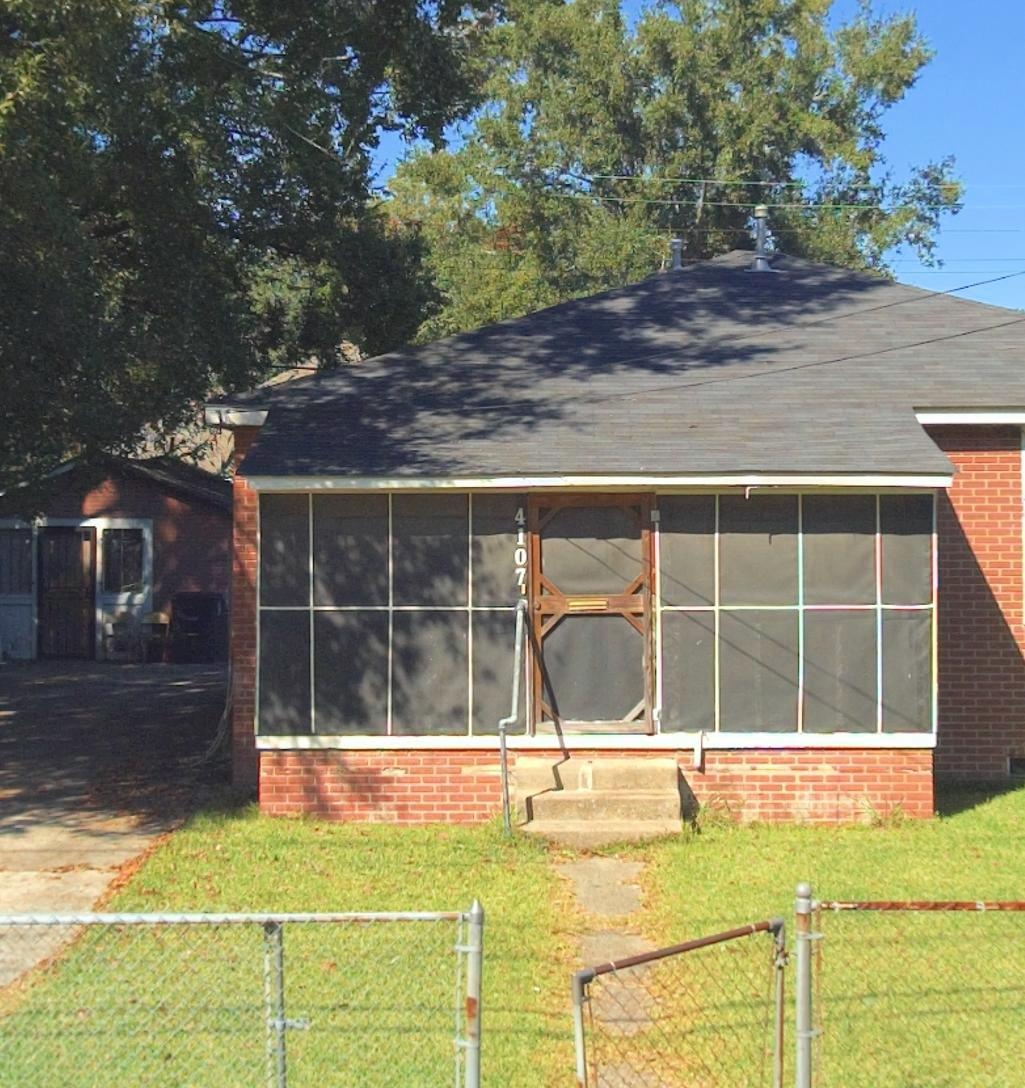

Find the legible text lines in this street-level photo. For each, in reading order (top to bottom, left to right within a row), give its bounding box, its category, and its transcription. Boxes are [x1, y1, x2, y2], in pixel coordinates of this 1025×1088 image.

[513, 506, 529, 587] StreetNumber: 4107